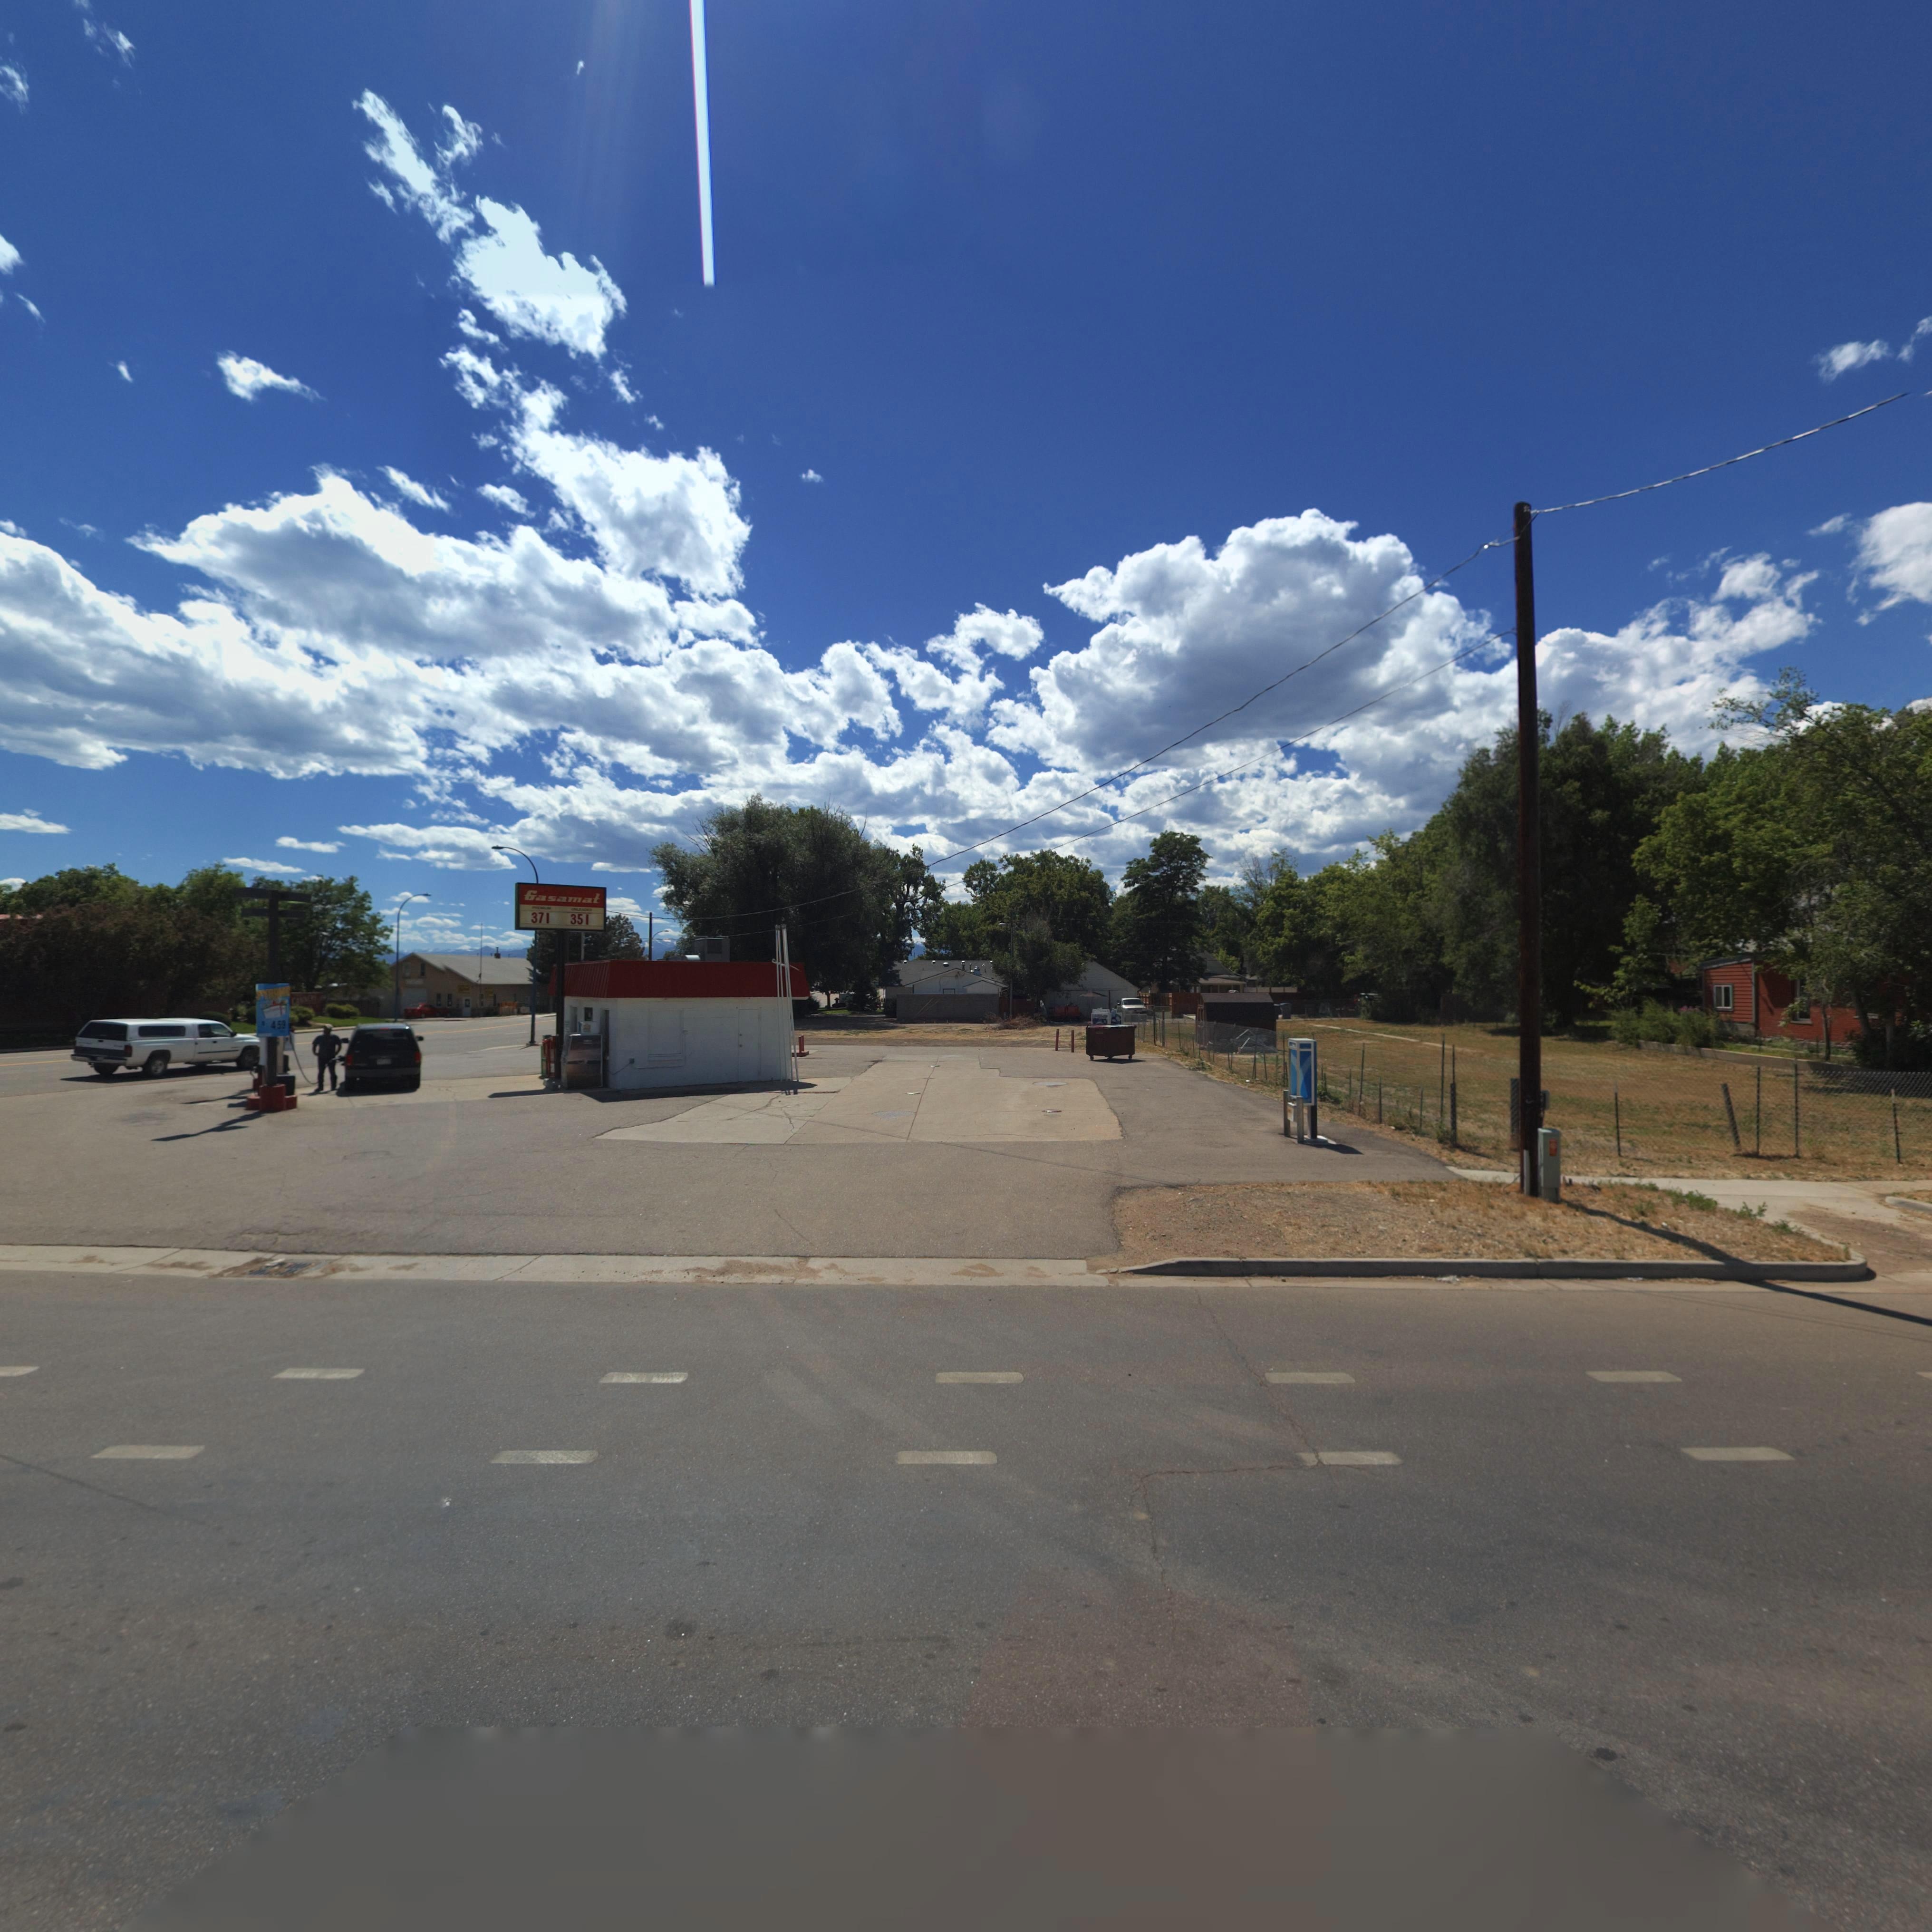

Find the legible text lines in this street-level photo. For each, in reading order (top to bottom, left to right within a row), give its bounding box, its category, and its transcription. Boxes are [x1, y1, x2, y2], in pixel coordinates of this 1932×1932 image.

[523, 889, 600, 903] BusinessName: Gasamat